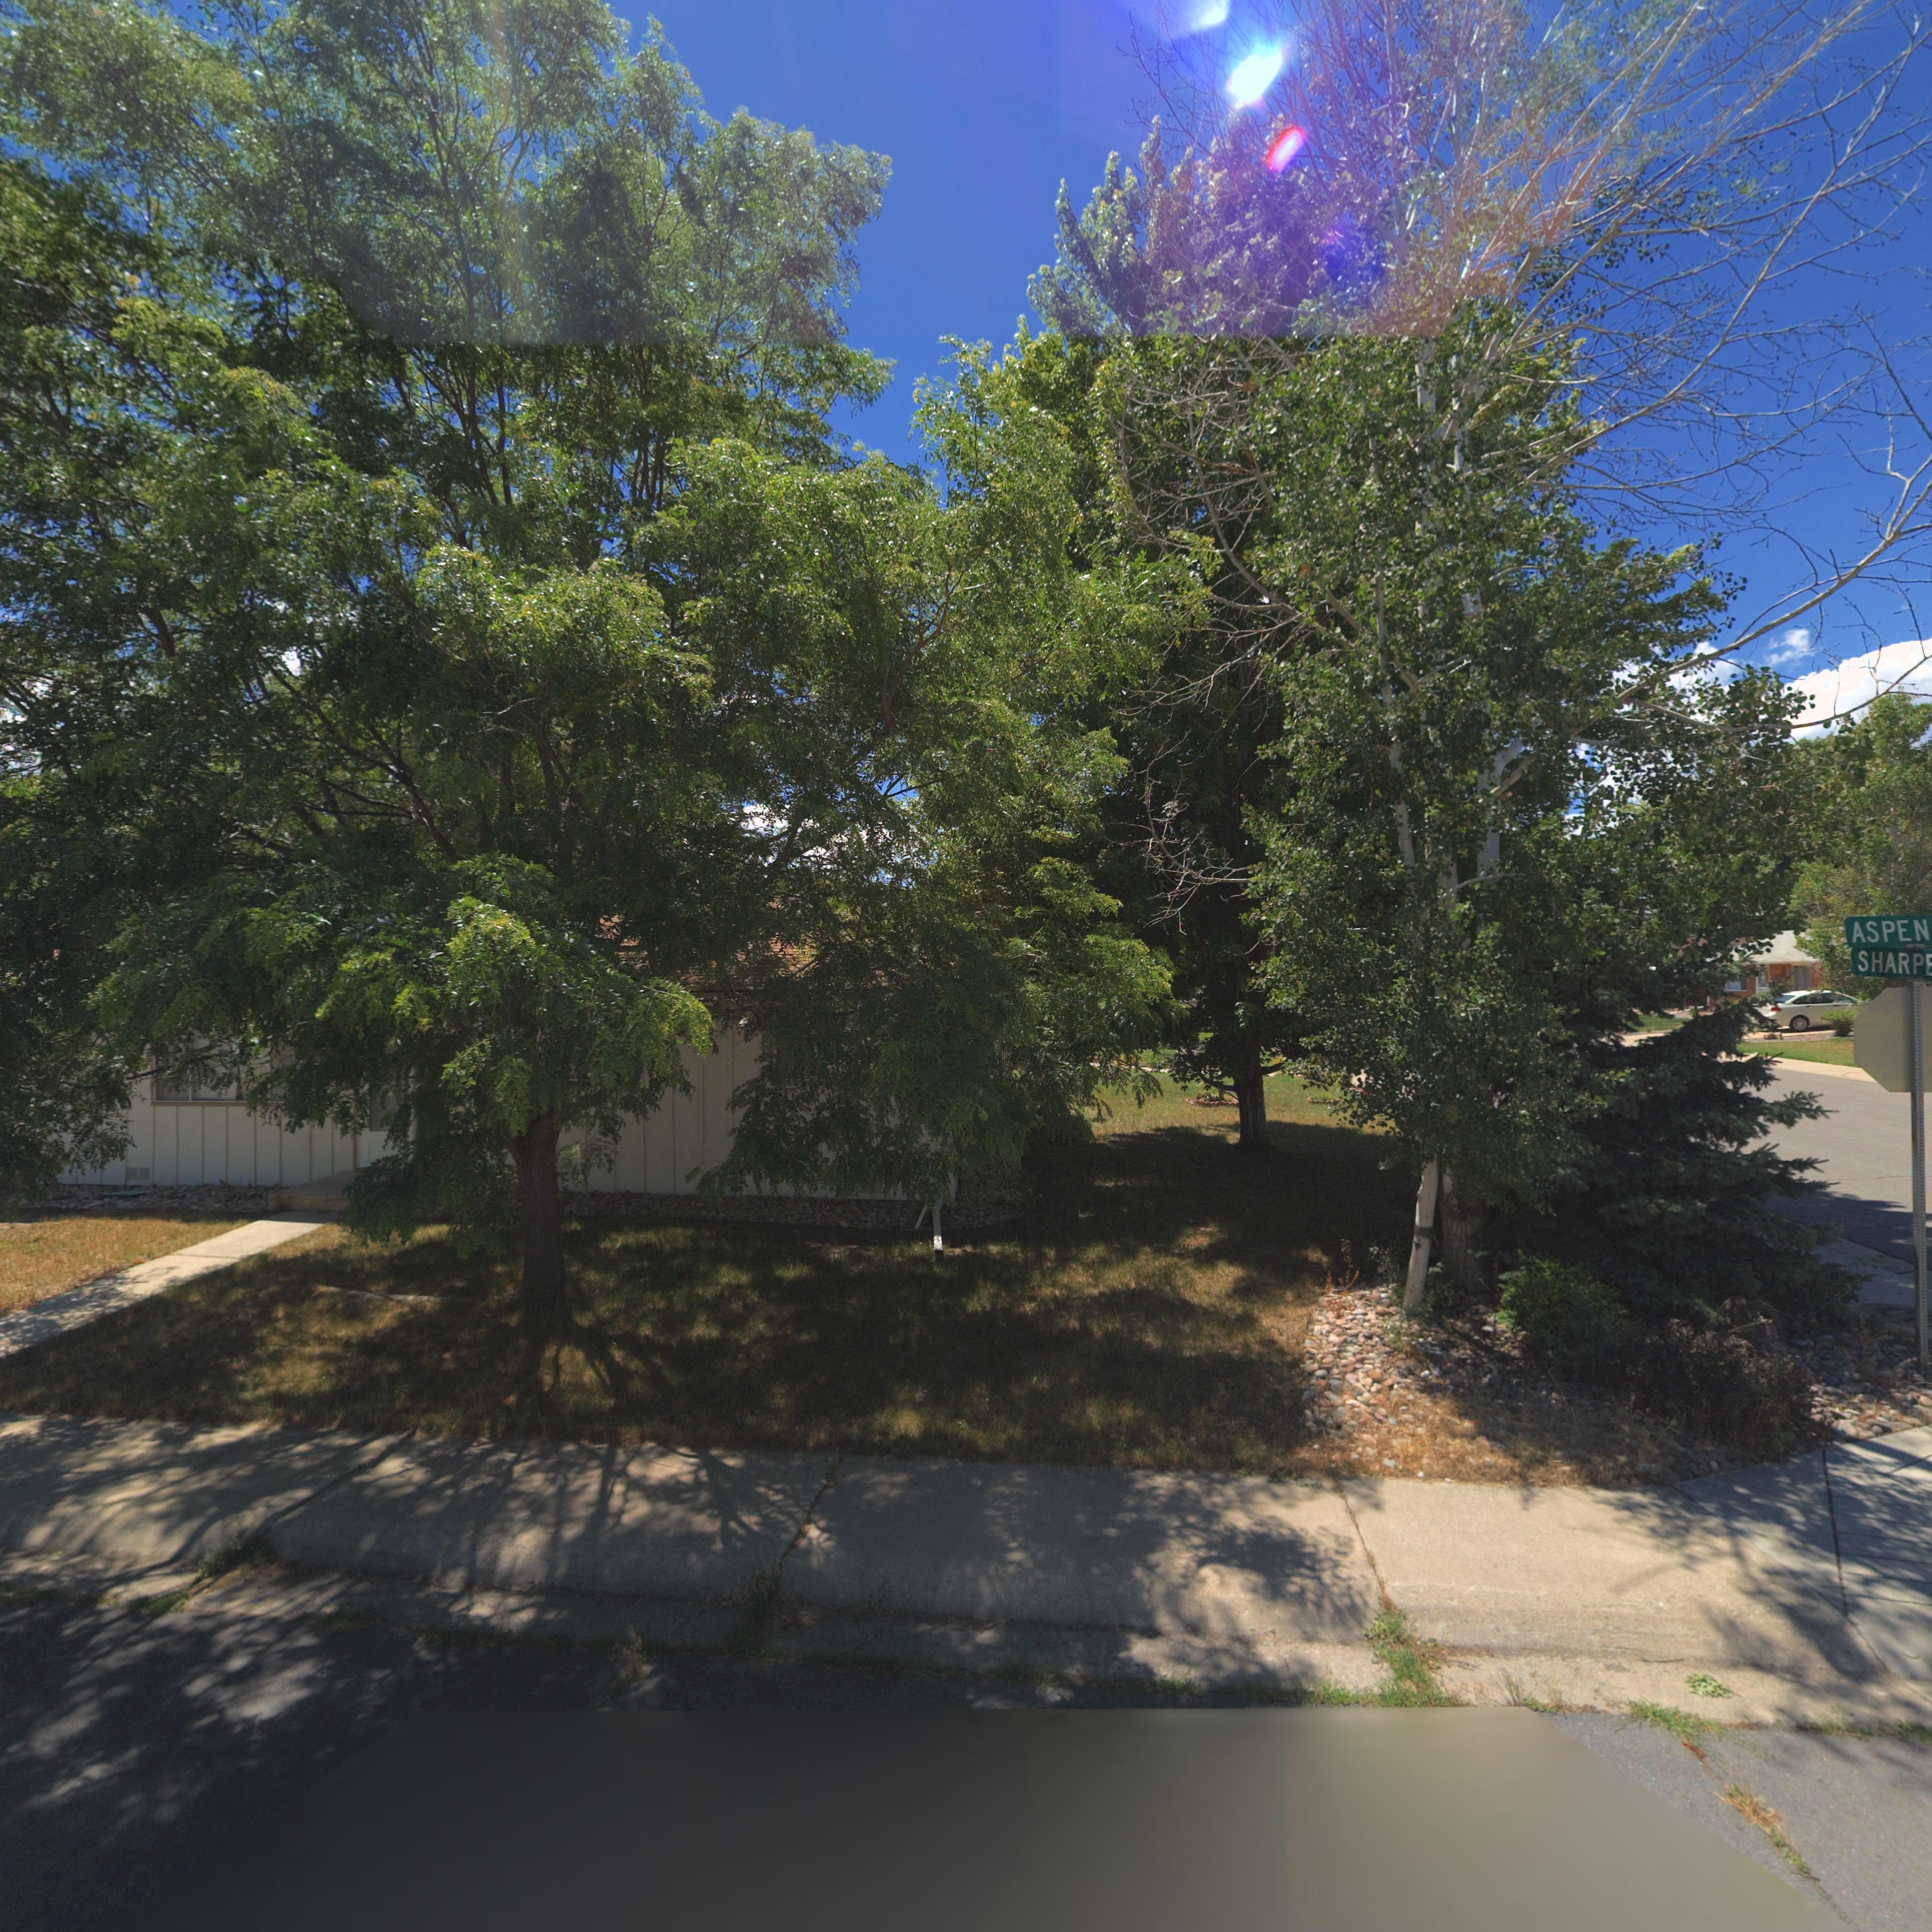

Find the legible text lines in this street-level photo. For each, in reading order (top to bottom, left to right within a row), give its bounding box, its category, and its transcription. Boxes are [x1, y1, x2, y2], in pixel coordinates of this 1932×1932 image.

[1851, 918, 1931, 944] StreetName: ASPEN
[1856, 949, 1924, 975] StreetName: SHARP